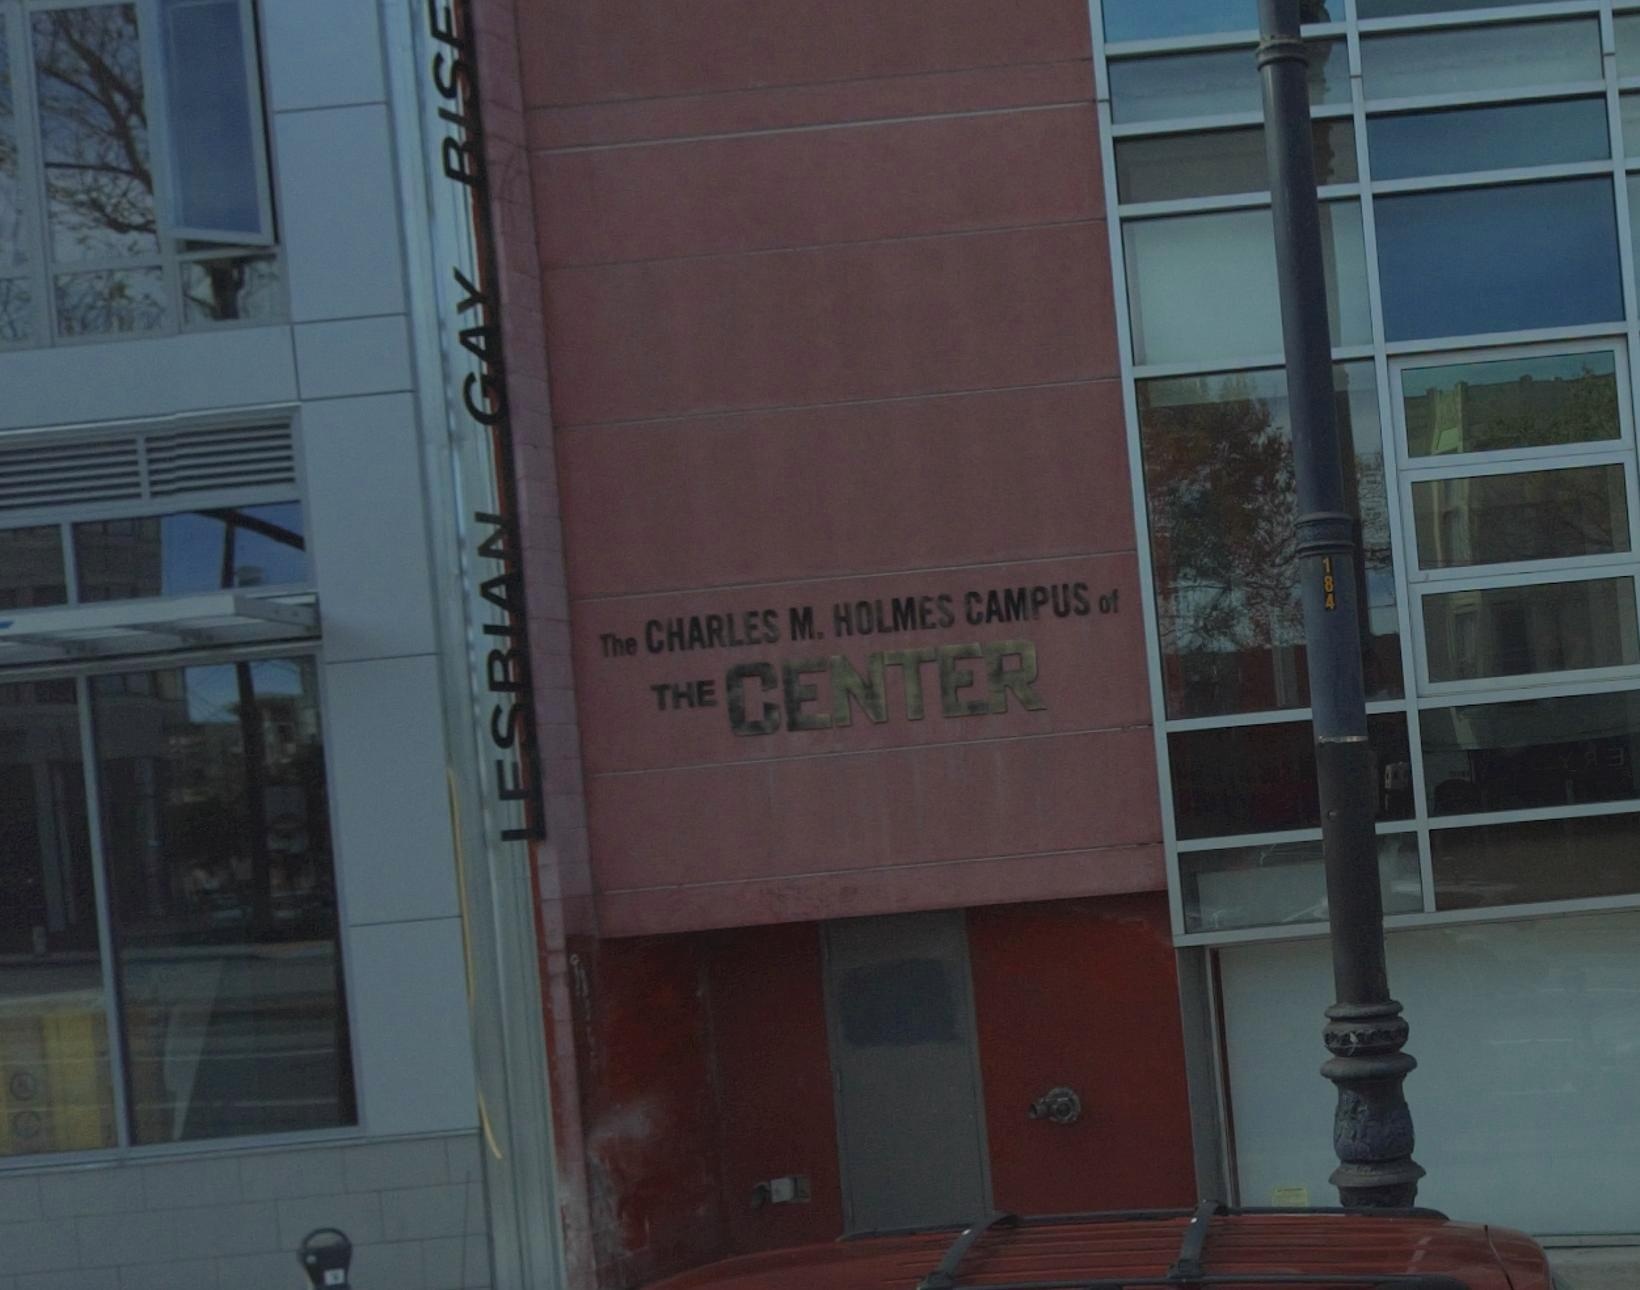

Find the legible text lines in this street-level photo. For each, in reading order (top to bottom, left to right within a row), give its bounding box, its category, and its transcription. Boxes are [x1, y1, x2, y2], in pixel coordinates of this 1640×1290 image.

[425, 0, 550, 846] None: LESBIAN GAY BISE
[593, 577, 1124, 666] BusinessName: The CHARLES M. HOLMES CAMPUS of
[1319, 553, 1340, 612] None: 184
[643, 628, 1056, 747] BusinessName: THE CENTER